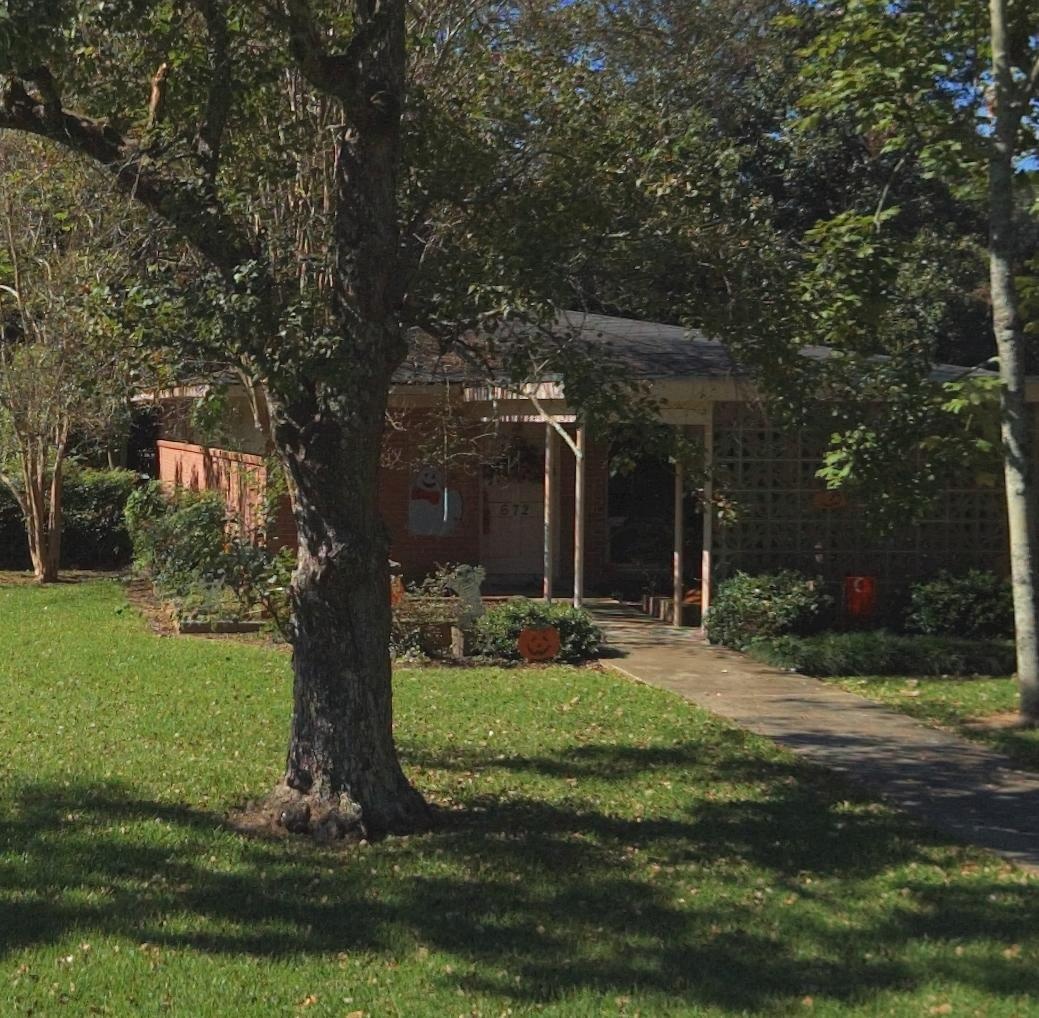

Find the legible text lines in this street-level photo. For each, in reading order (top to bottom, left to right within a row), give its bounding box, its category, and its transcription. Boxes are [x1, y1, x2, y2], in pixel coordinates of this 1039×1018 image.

[498, 502, 531, 517] StreetNumber: 572